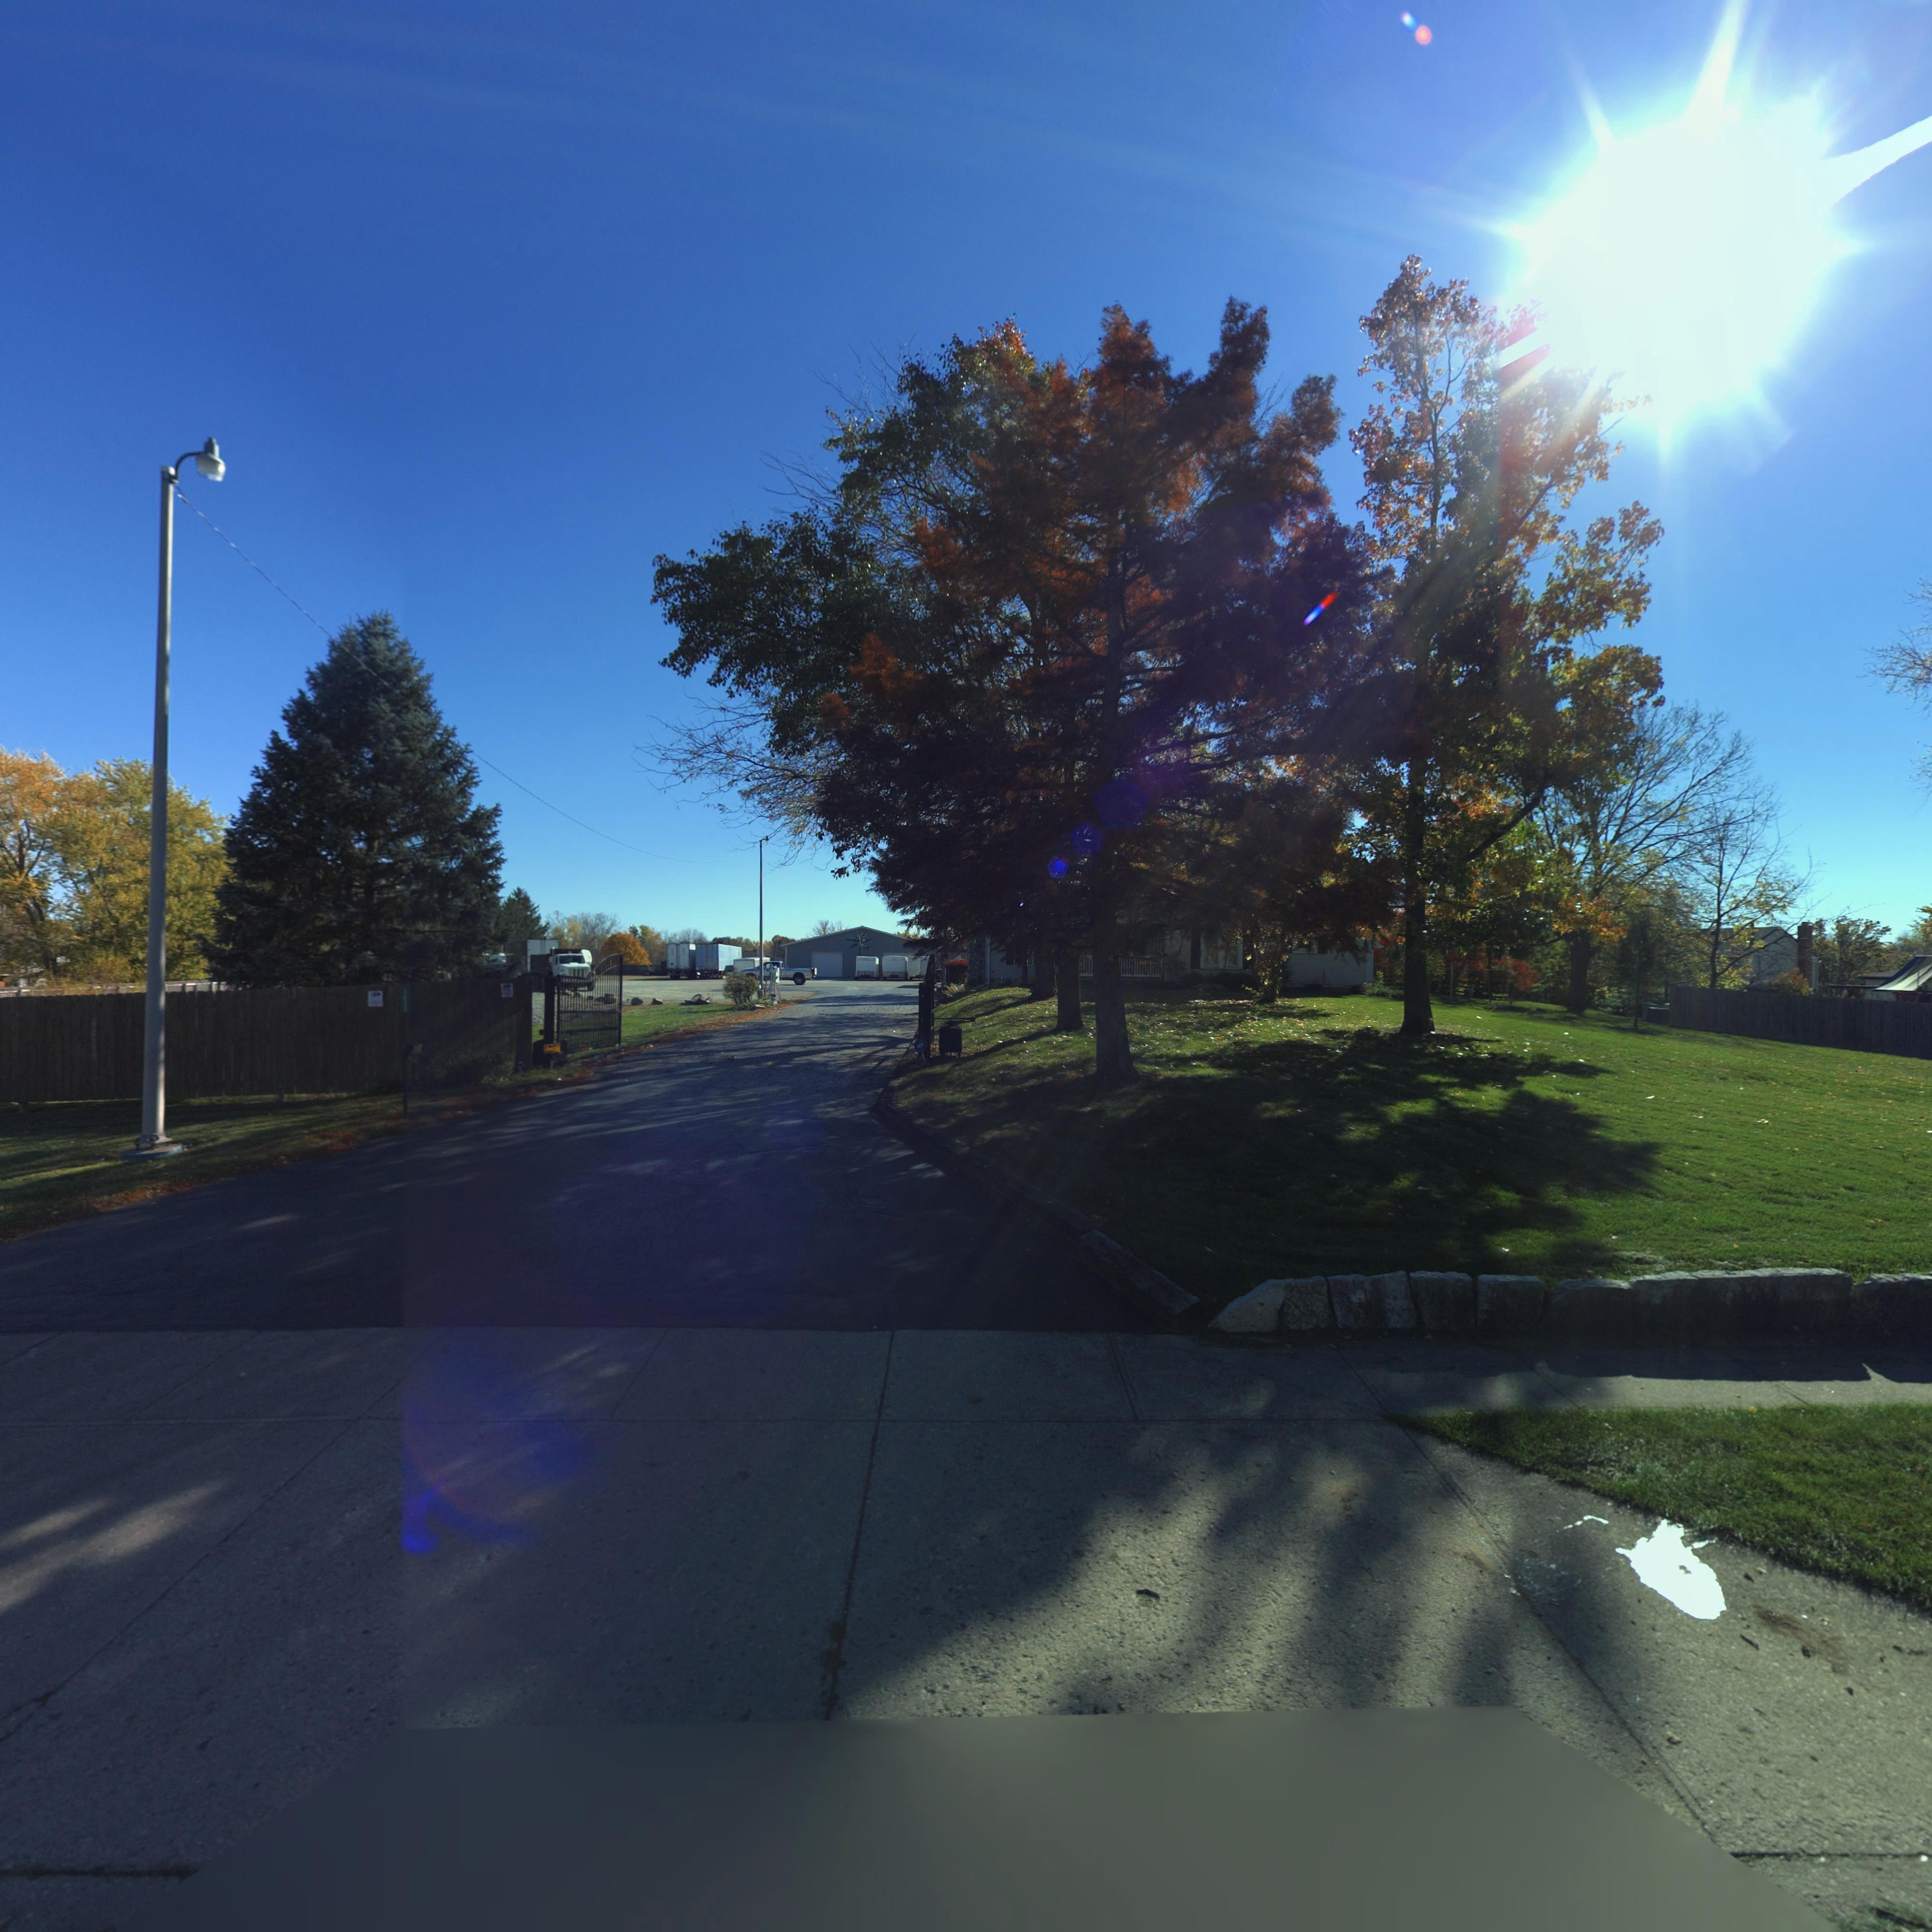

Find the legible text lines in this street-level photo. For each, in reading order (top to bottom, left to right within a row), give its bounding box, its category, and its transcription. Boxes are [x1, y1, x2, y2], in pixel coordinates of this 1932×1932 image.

[402, 988, 407, 1012] StreetNumber: 5***